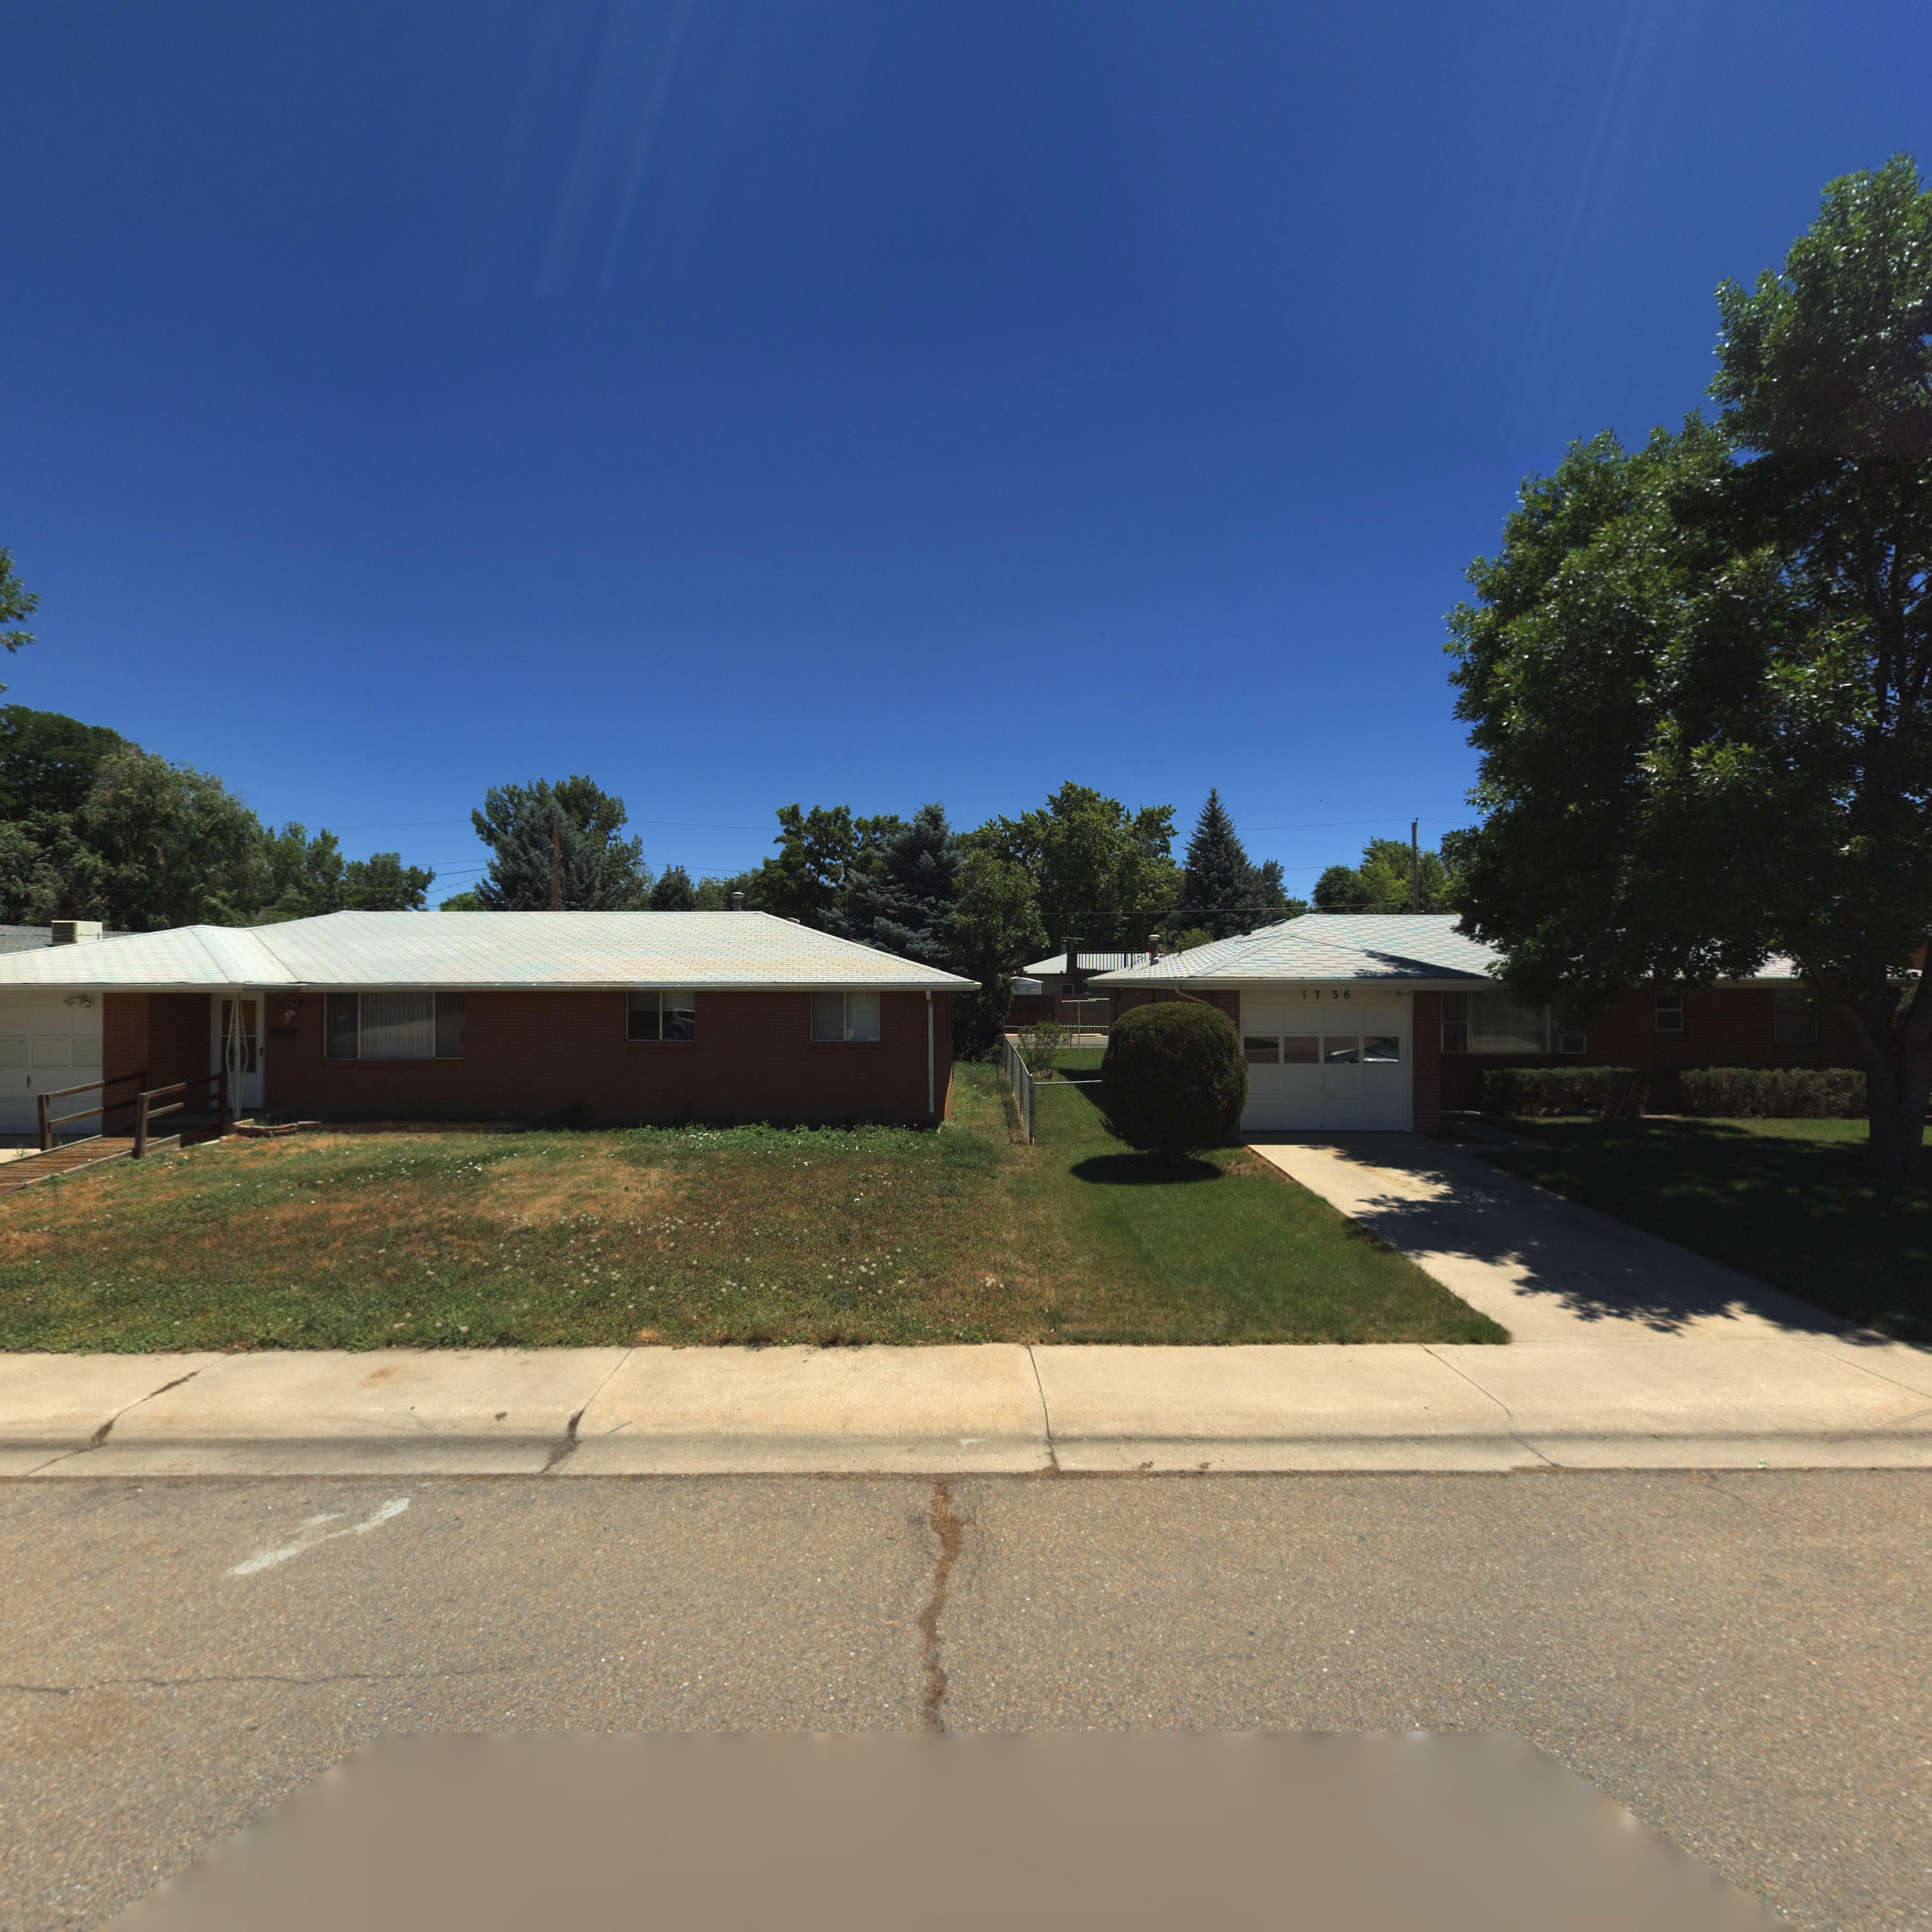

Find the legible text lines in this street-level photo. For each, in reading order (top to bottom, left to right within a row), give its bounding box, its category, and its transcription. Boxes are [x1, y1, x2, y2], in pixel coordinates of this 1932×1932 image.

[1302, 989, 1351, 999] StreetNumber: 1736
[283, 1001, 299, 1006] StreetNumber: 17**